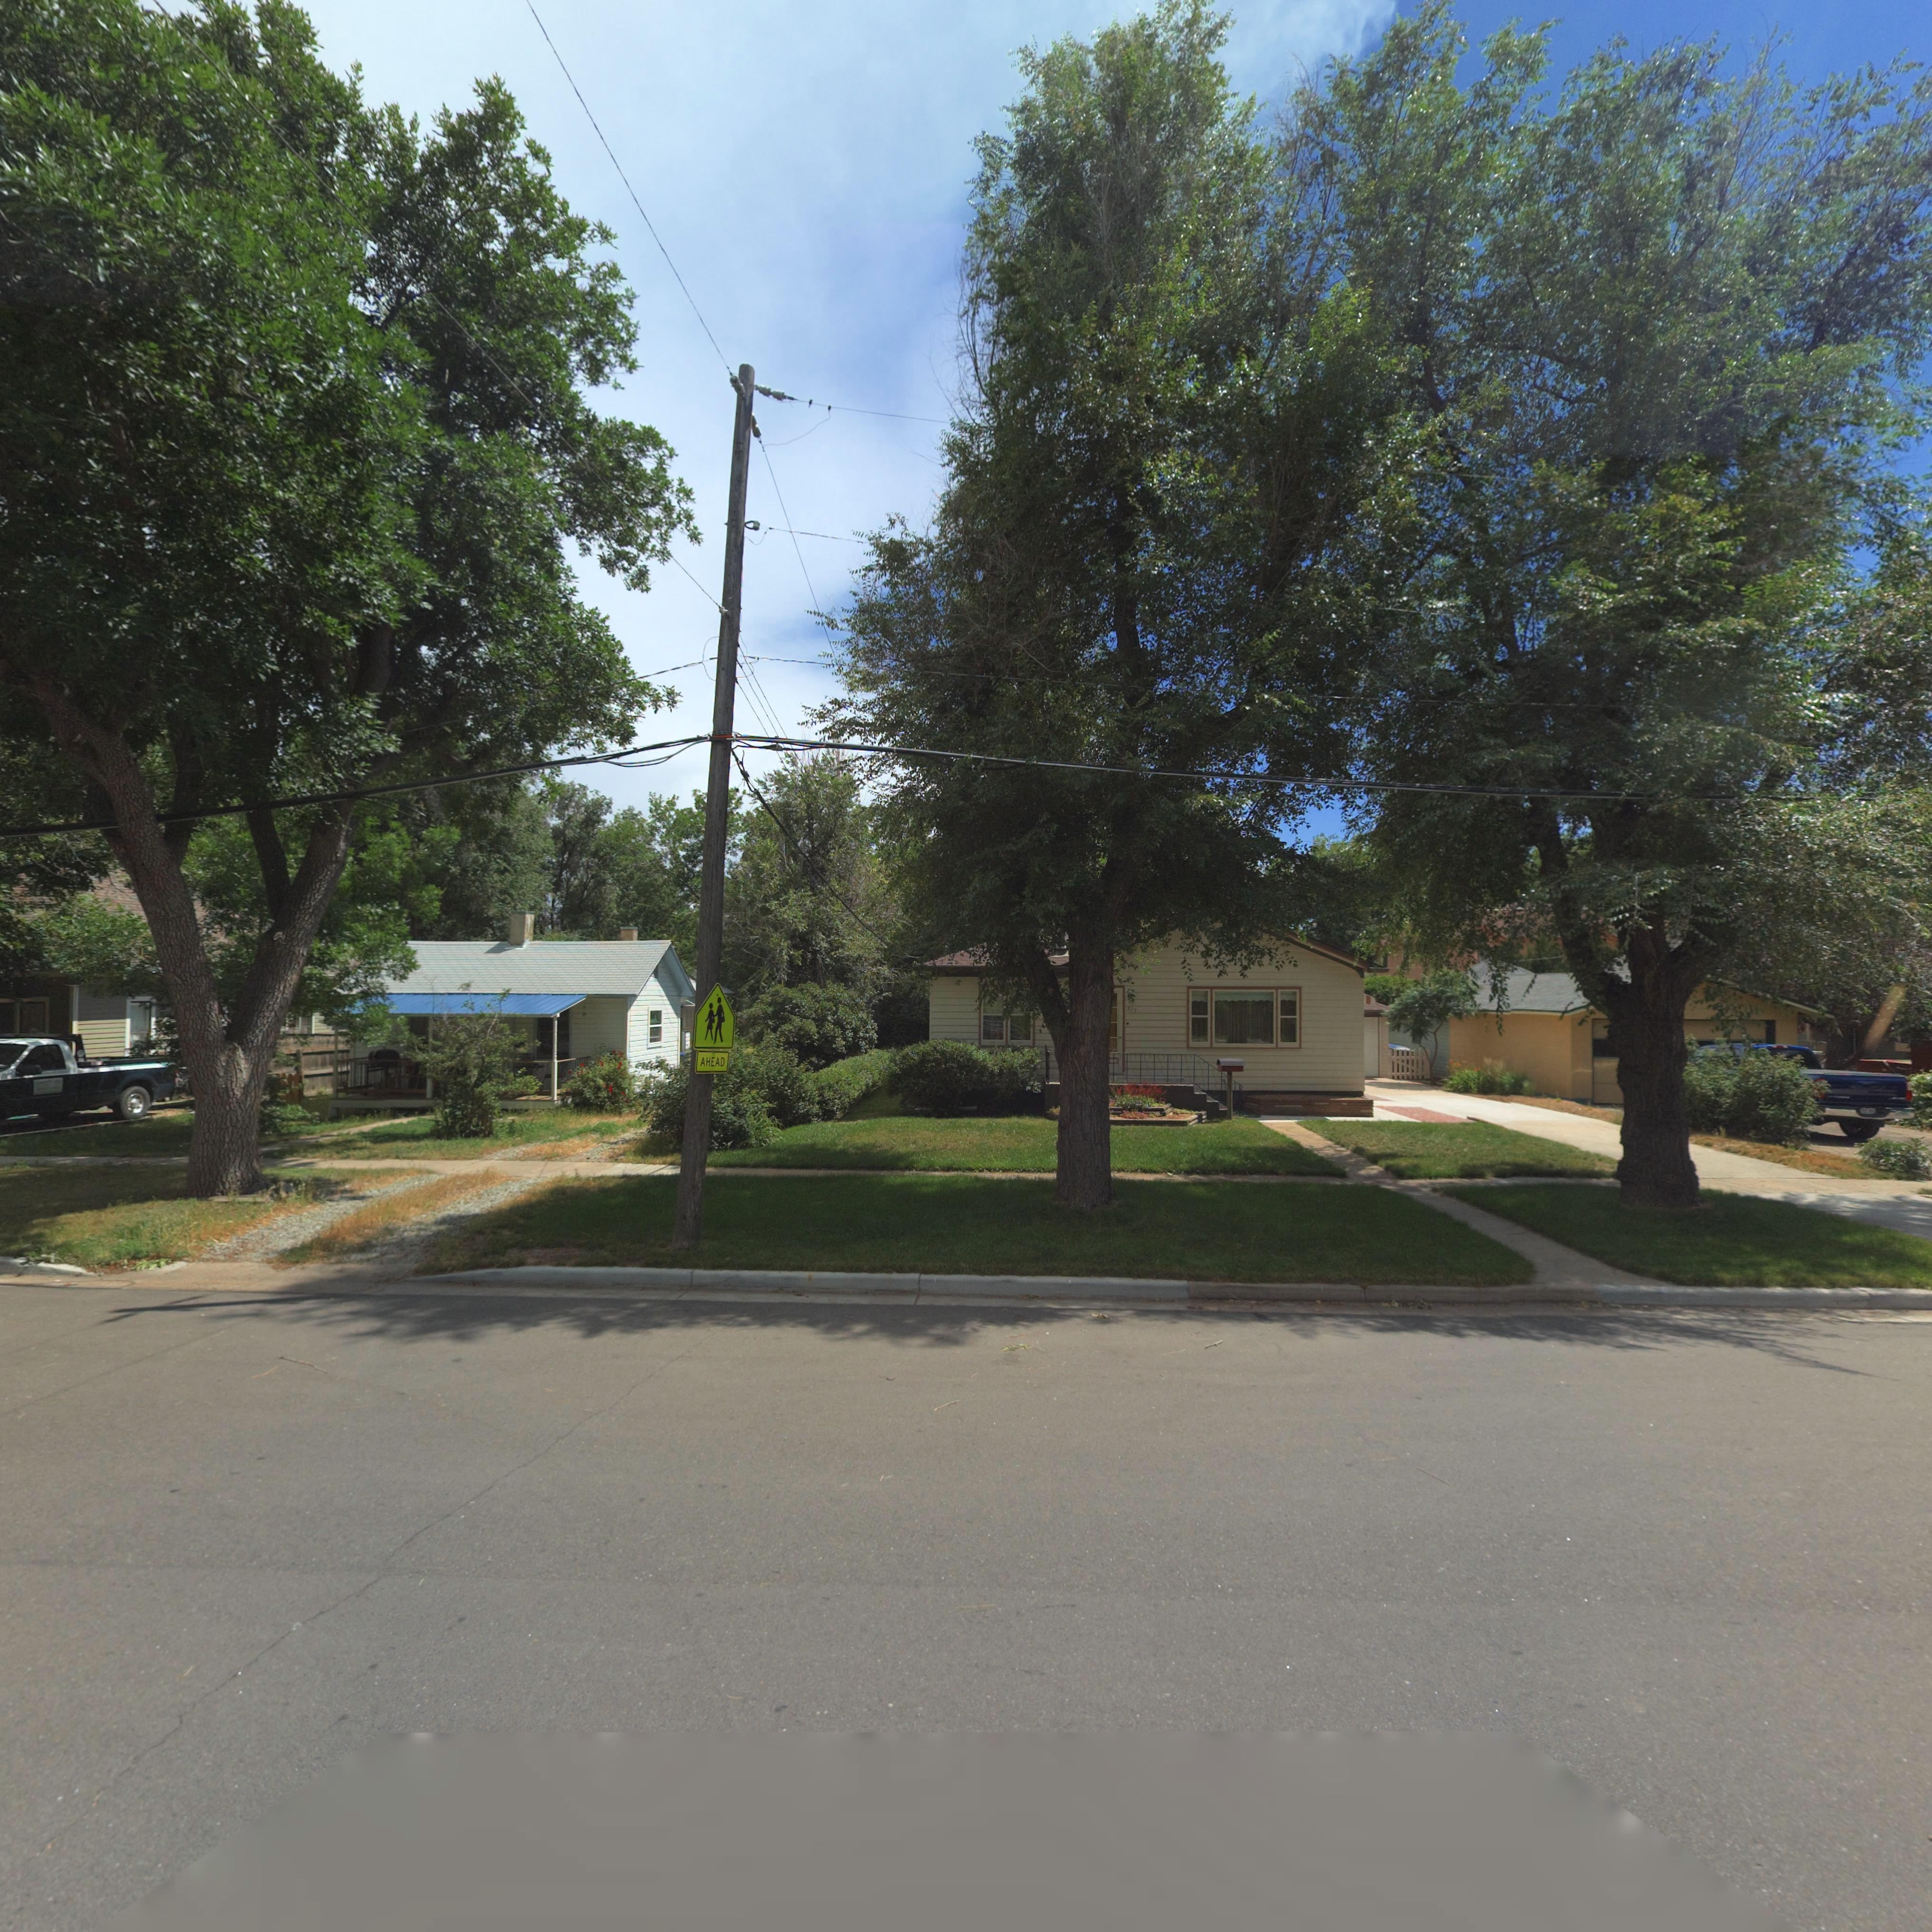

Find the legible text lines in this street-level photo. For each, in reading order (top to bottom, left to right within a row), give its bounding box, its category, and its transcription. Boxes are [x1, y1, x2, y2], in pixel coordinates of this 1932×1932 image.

[1127, 1005, 1137, 1014] StreetNumber: 217